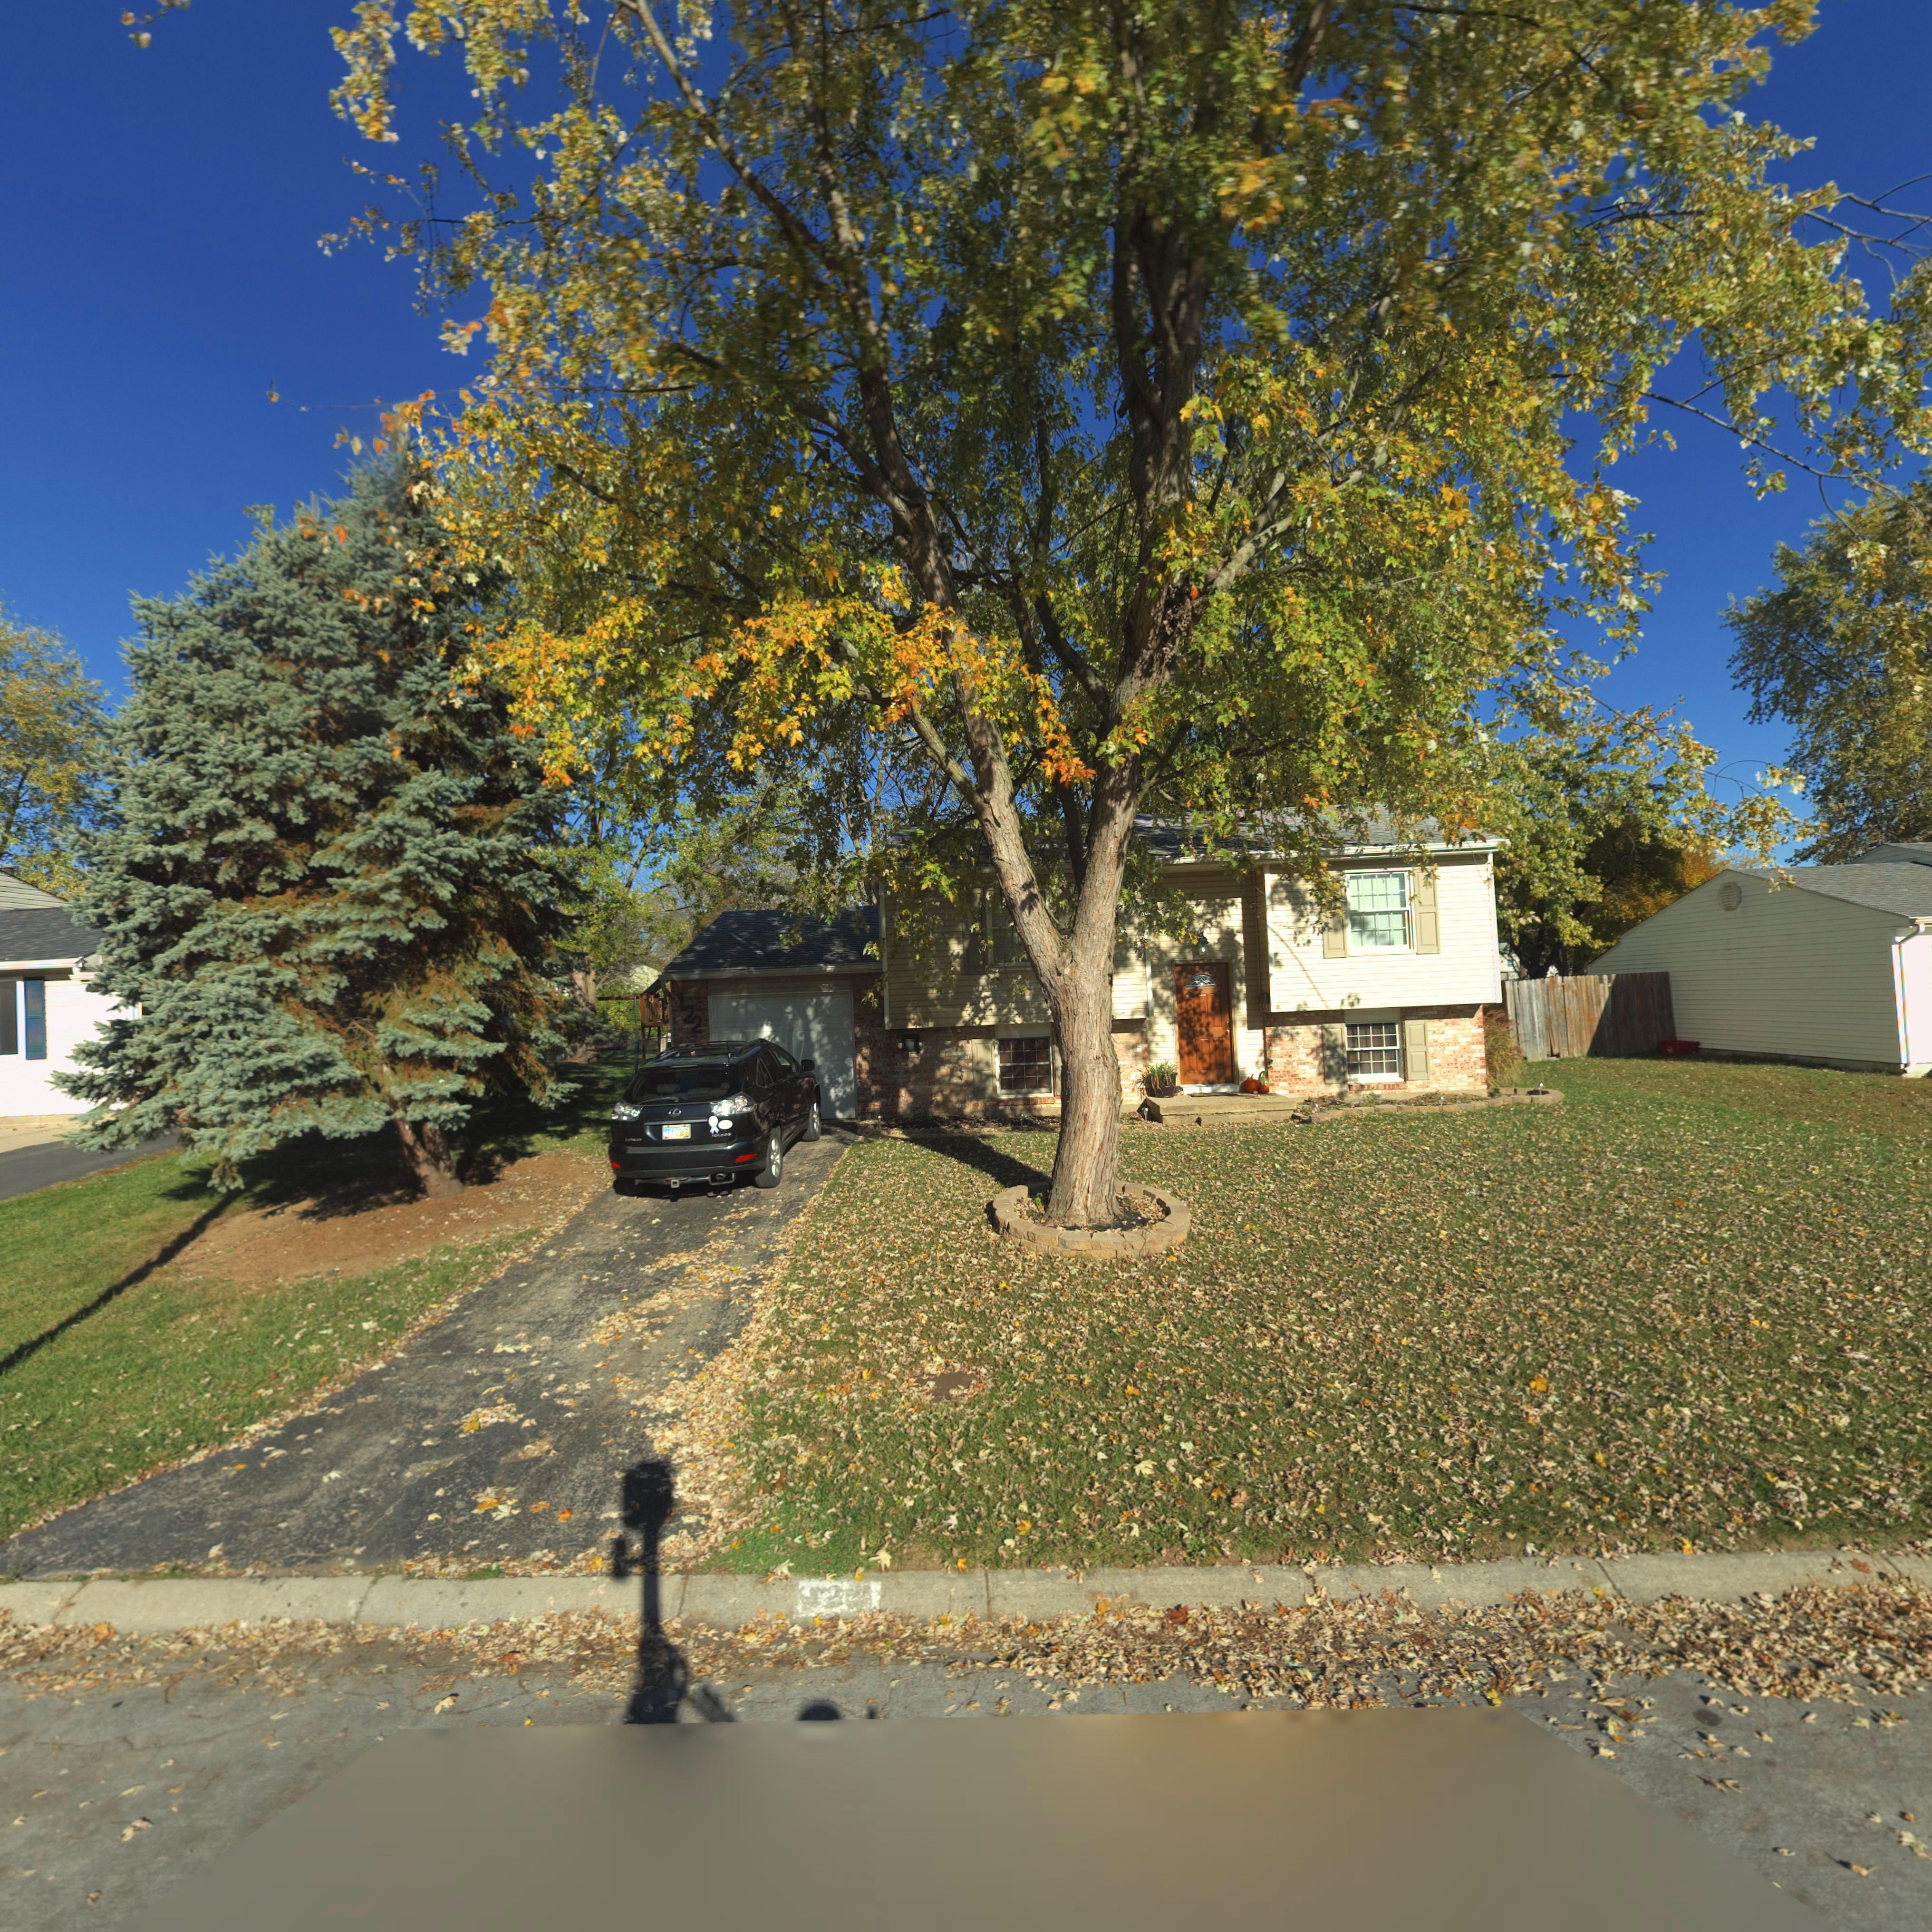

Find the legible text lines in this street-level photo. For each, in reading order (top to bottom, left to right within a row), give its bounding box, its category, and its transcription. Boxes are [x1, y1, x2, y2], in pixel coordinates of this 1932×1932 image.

[821, 1584, 844, 1610] StreetNumber: 2